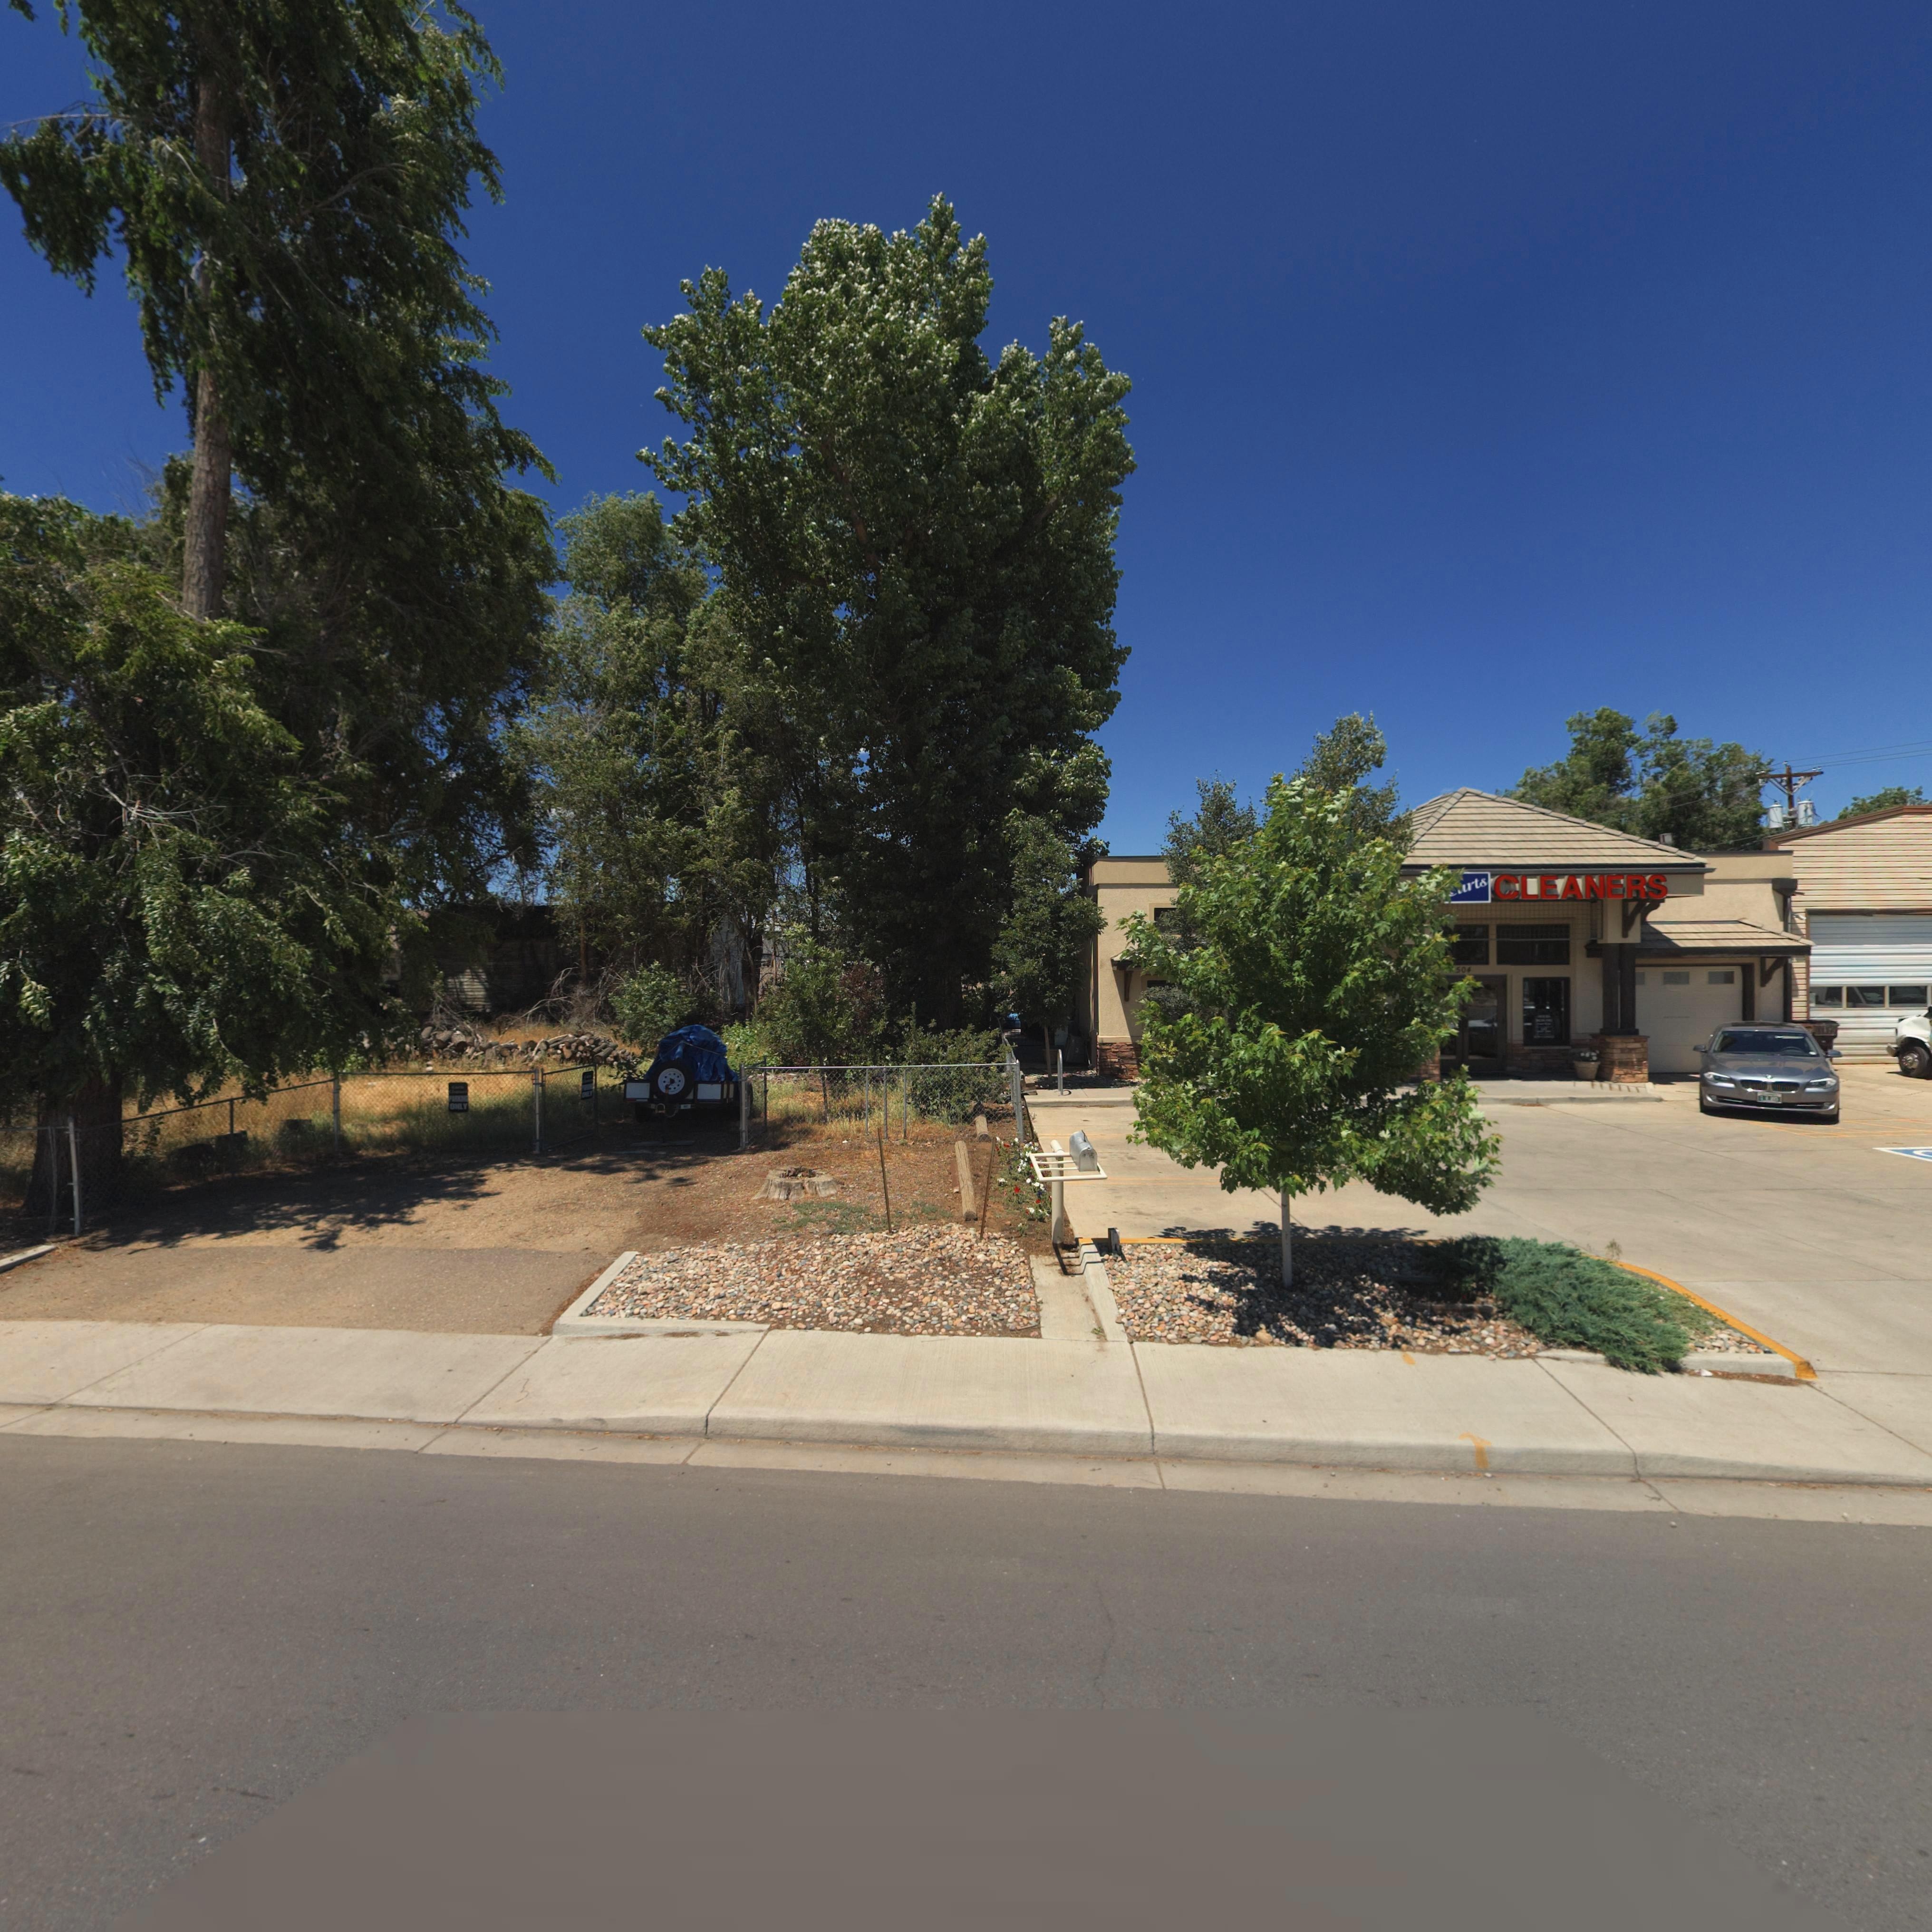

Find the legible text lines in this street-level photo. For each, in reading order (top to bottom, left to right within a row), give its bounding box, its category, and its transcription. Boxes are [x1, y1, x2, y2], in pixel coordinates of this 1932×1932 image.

[1457, 877, 1487, 894] BusinessName: urts
[1494, 873, 1668, 900] BusinessName: CLEANERS
[1455, 966, 1471, 973] StreetNumber: 504